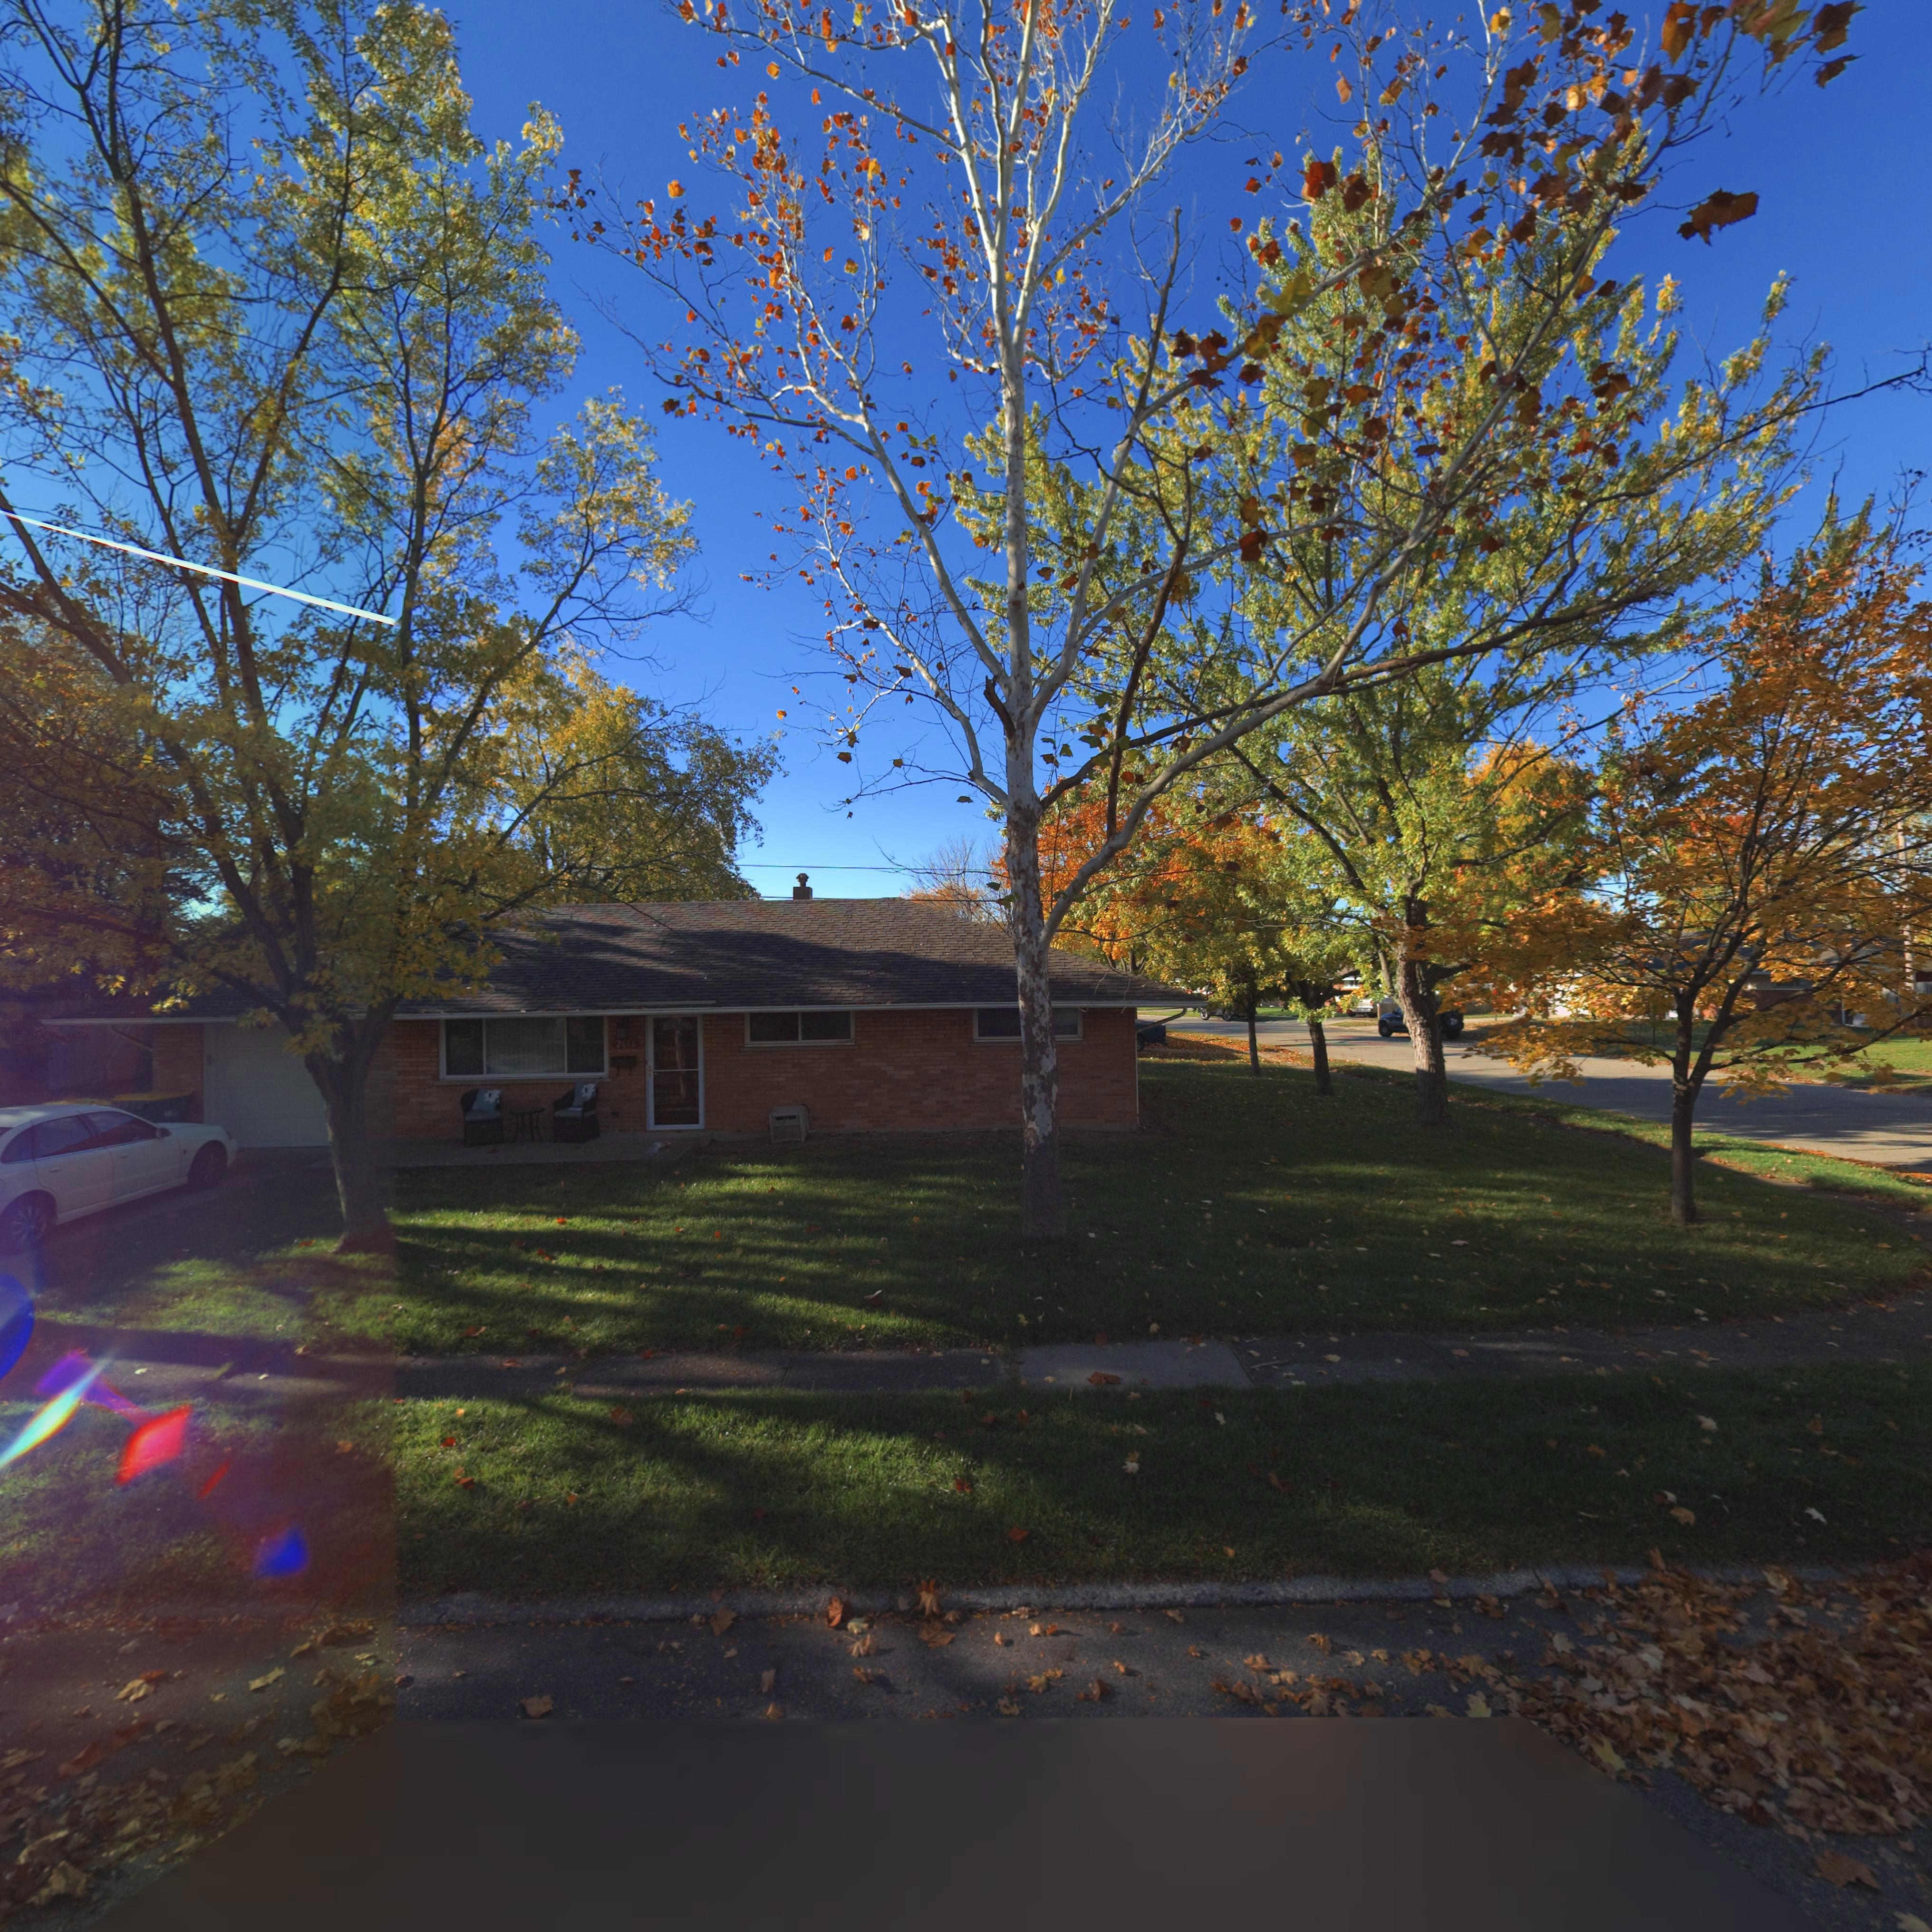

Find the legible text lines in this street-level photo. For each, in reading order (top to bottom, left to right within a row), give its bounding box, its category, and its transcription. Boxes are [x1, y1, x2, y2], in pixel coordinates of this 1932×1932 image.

[615, 1039, 636, 1048] StreetNumber: 2616